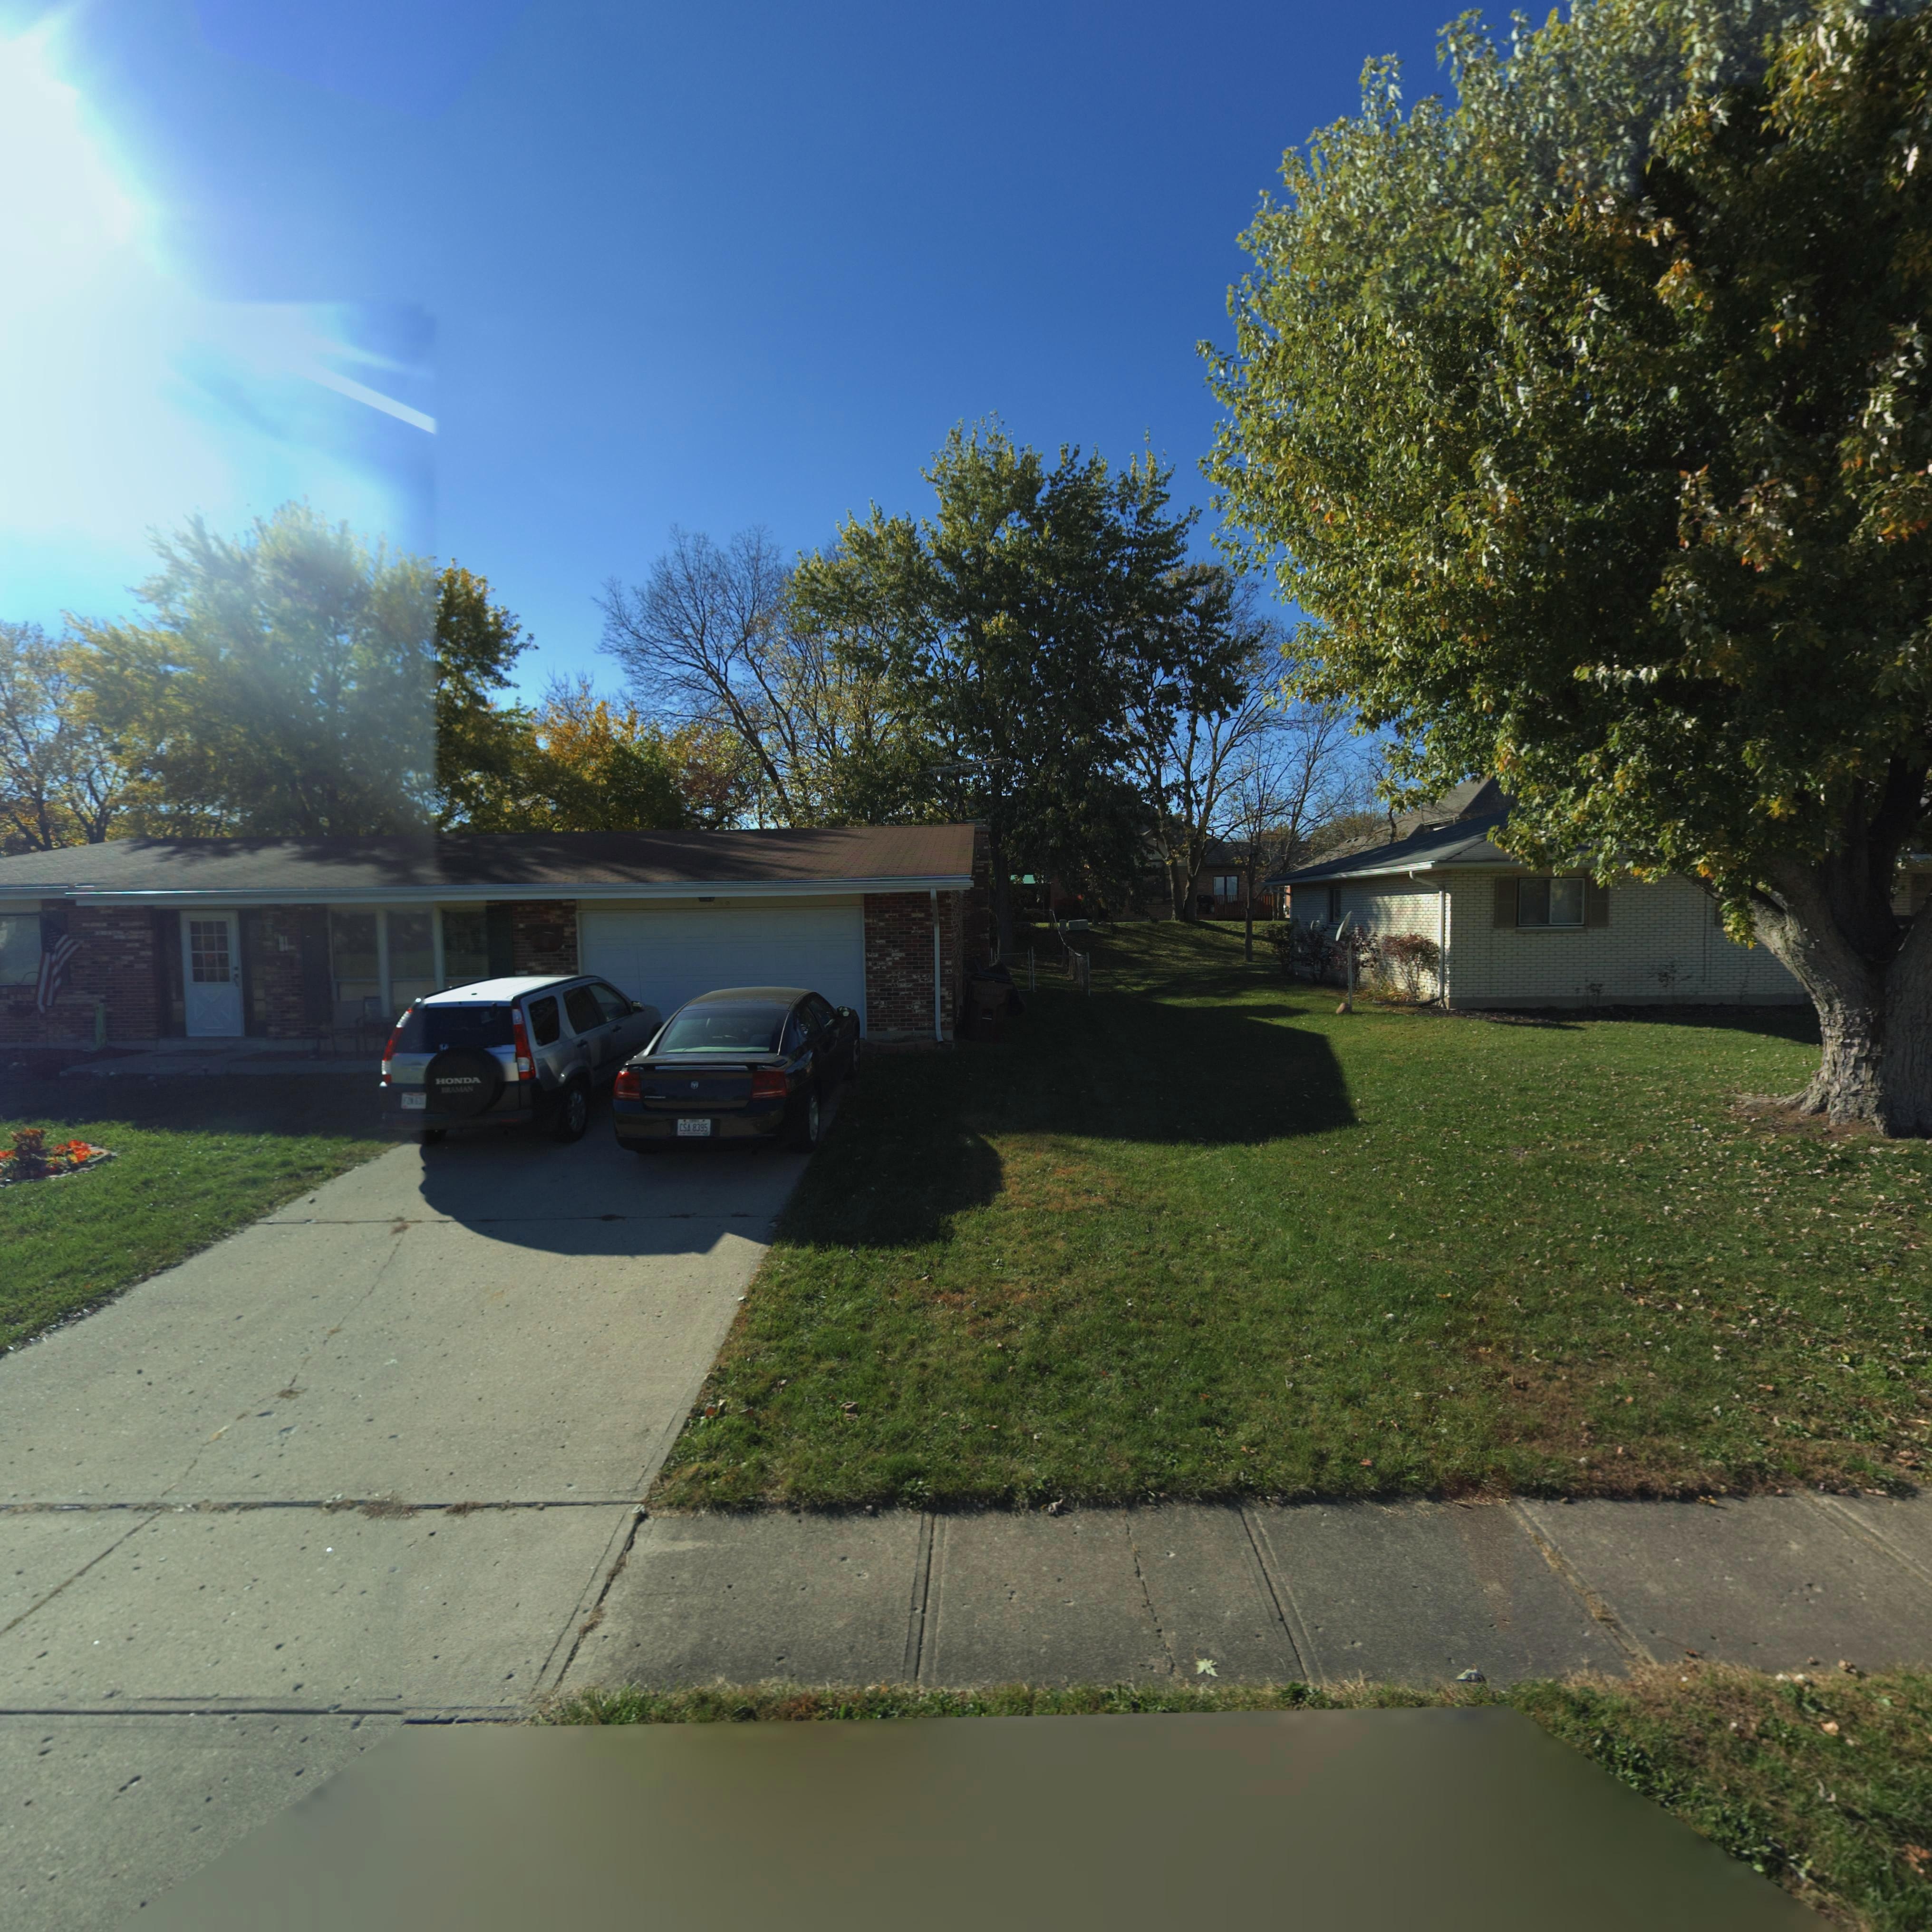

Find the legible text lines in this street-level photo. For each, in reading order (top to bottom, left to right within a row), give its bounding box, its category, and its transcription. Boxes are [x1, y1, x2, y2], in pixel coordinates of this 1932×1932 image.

[704, 900, 731, 908] StreetNumber: 7**9